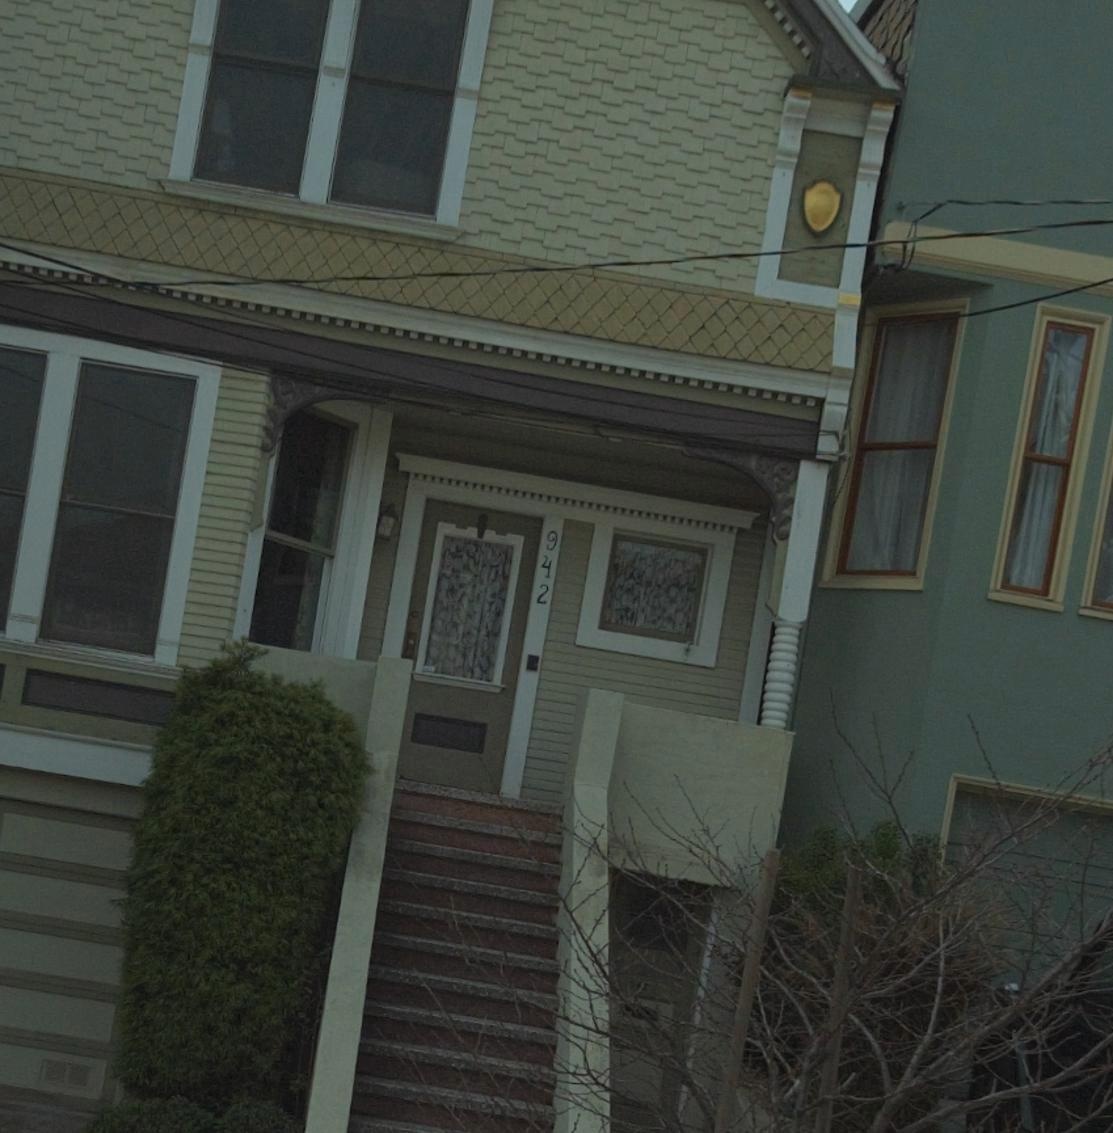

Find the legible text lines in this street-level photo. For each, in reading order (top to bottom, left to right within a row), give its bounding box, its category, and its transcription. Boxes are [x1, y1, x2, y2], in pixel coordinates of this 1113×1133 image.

[534, 530, 560, 606] StreetNumber: 942